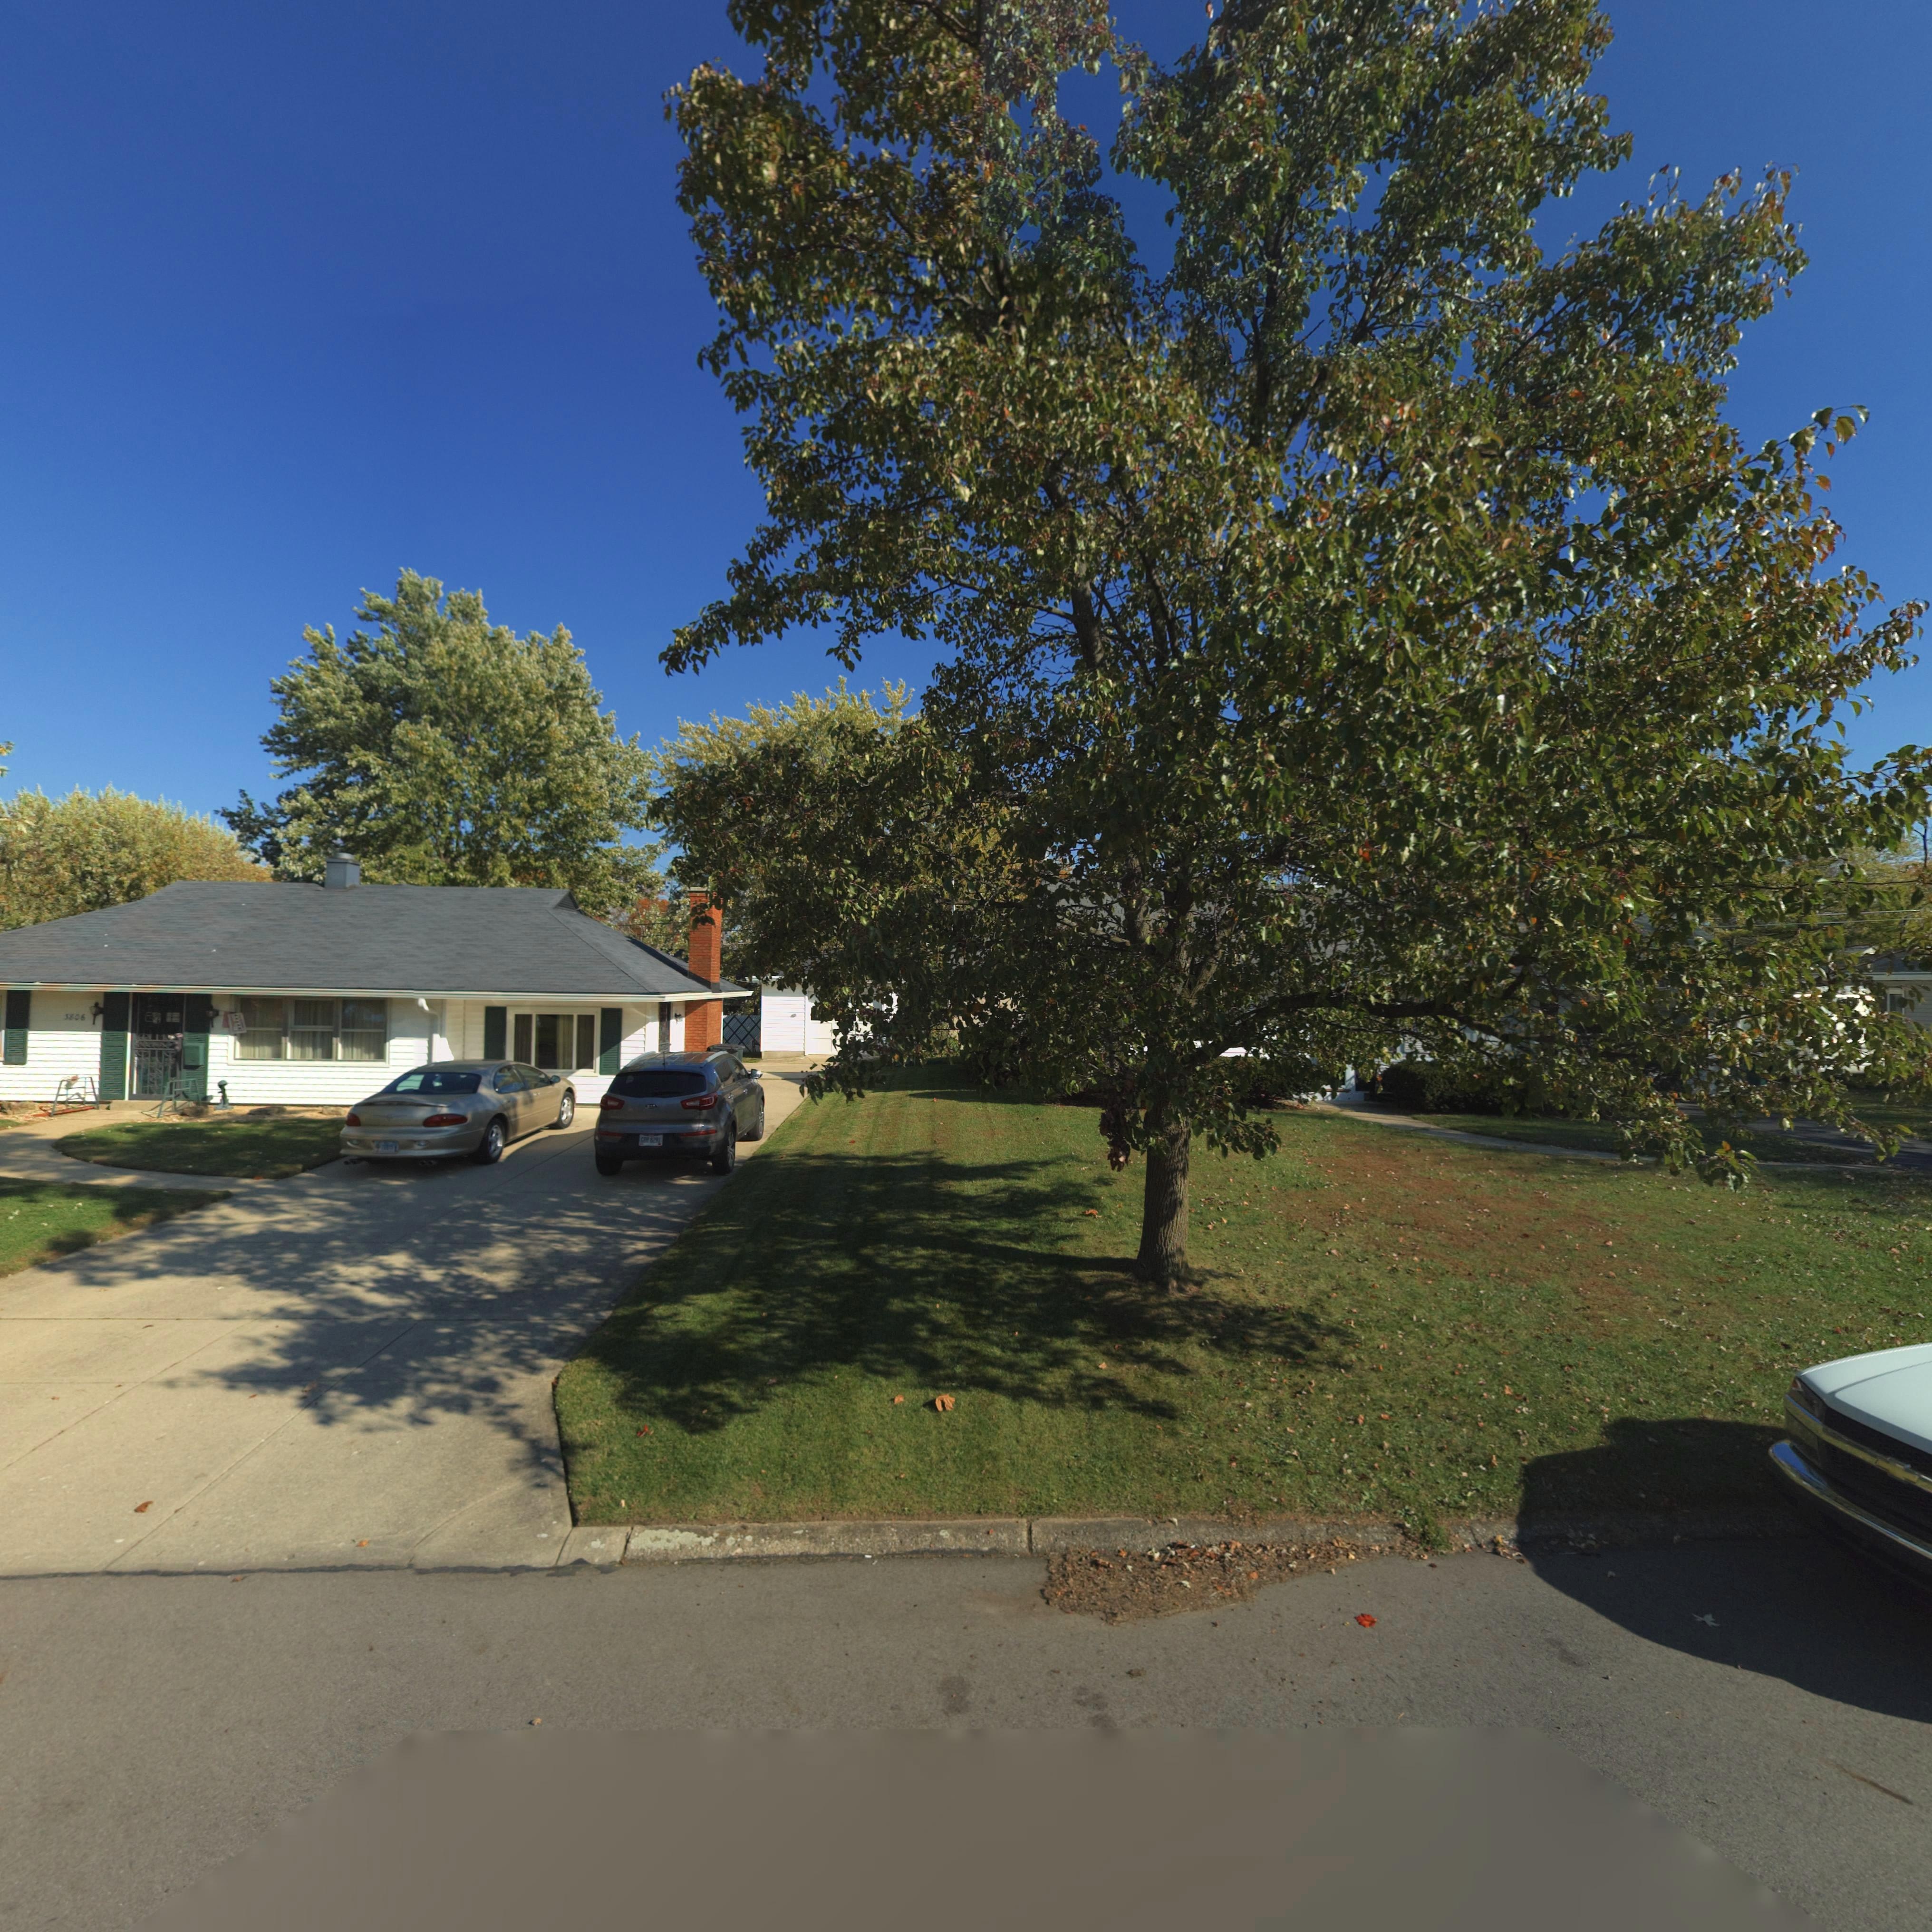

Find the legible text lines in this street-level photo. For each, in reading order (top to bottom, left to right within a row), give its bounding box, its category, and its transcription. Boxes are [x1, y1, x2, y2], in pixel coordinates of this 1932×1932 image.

[63, 1012, 87, 1022] StreetNumber: 3806